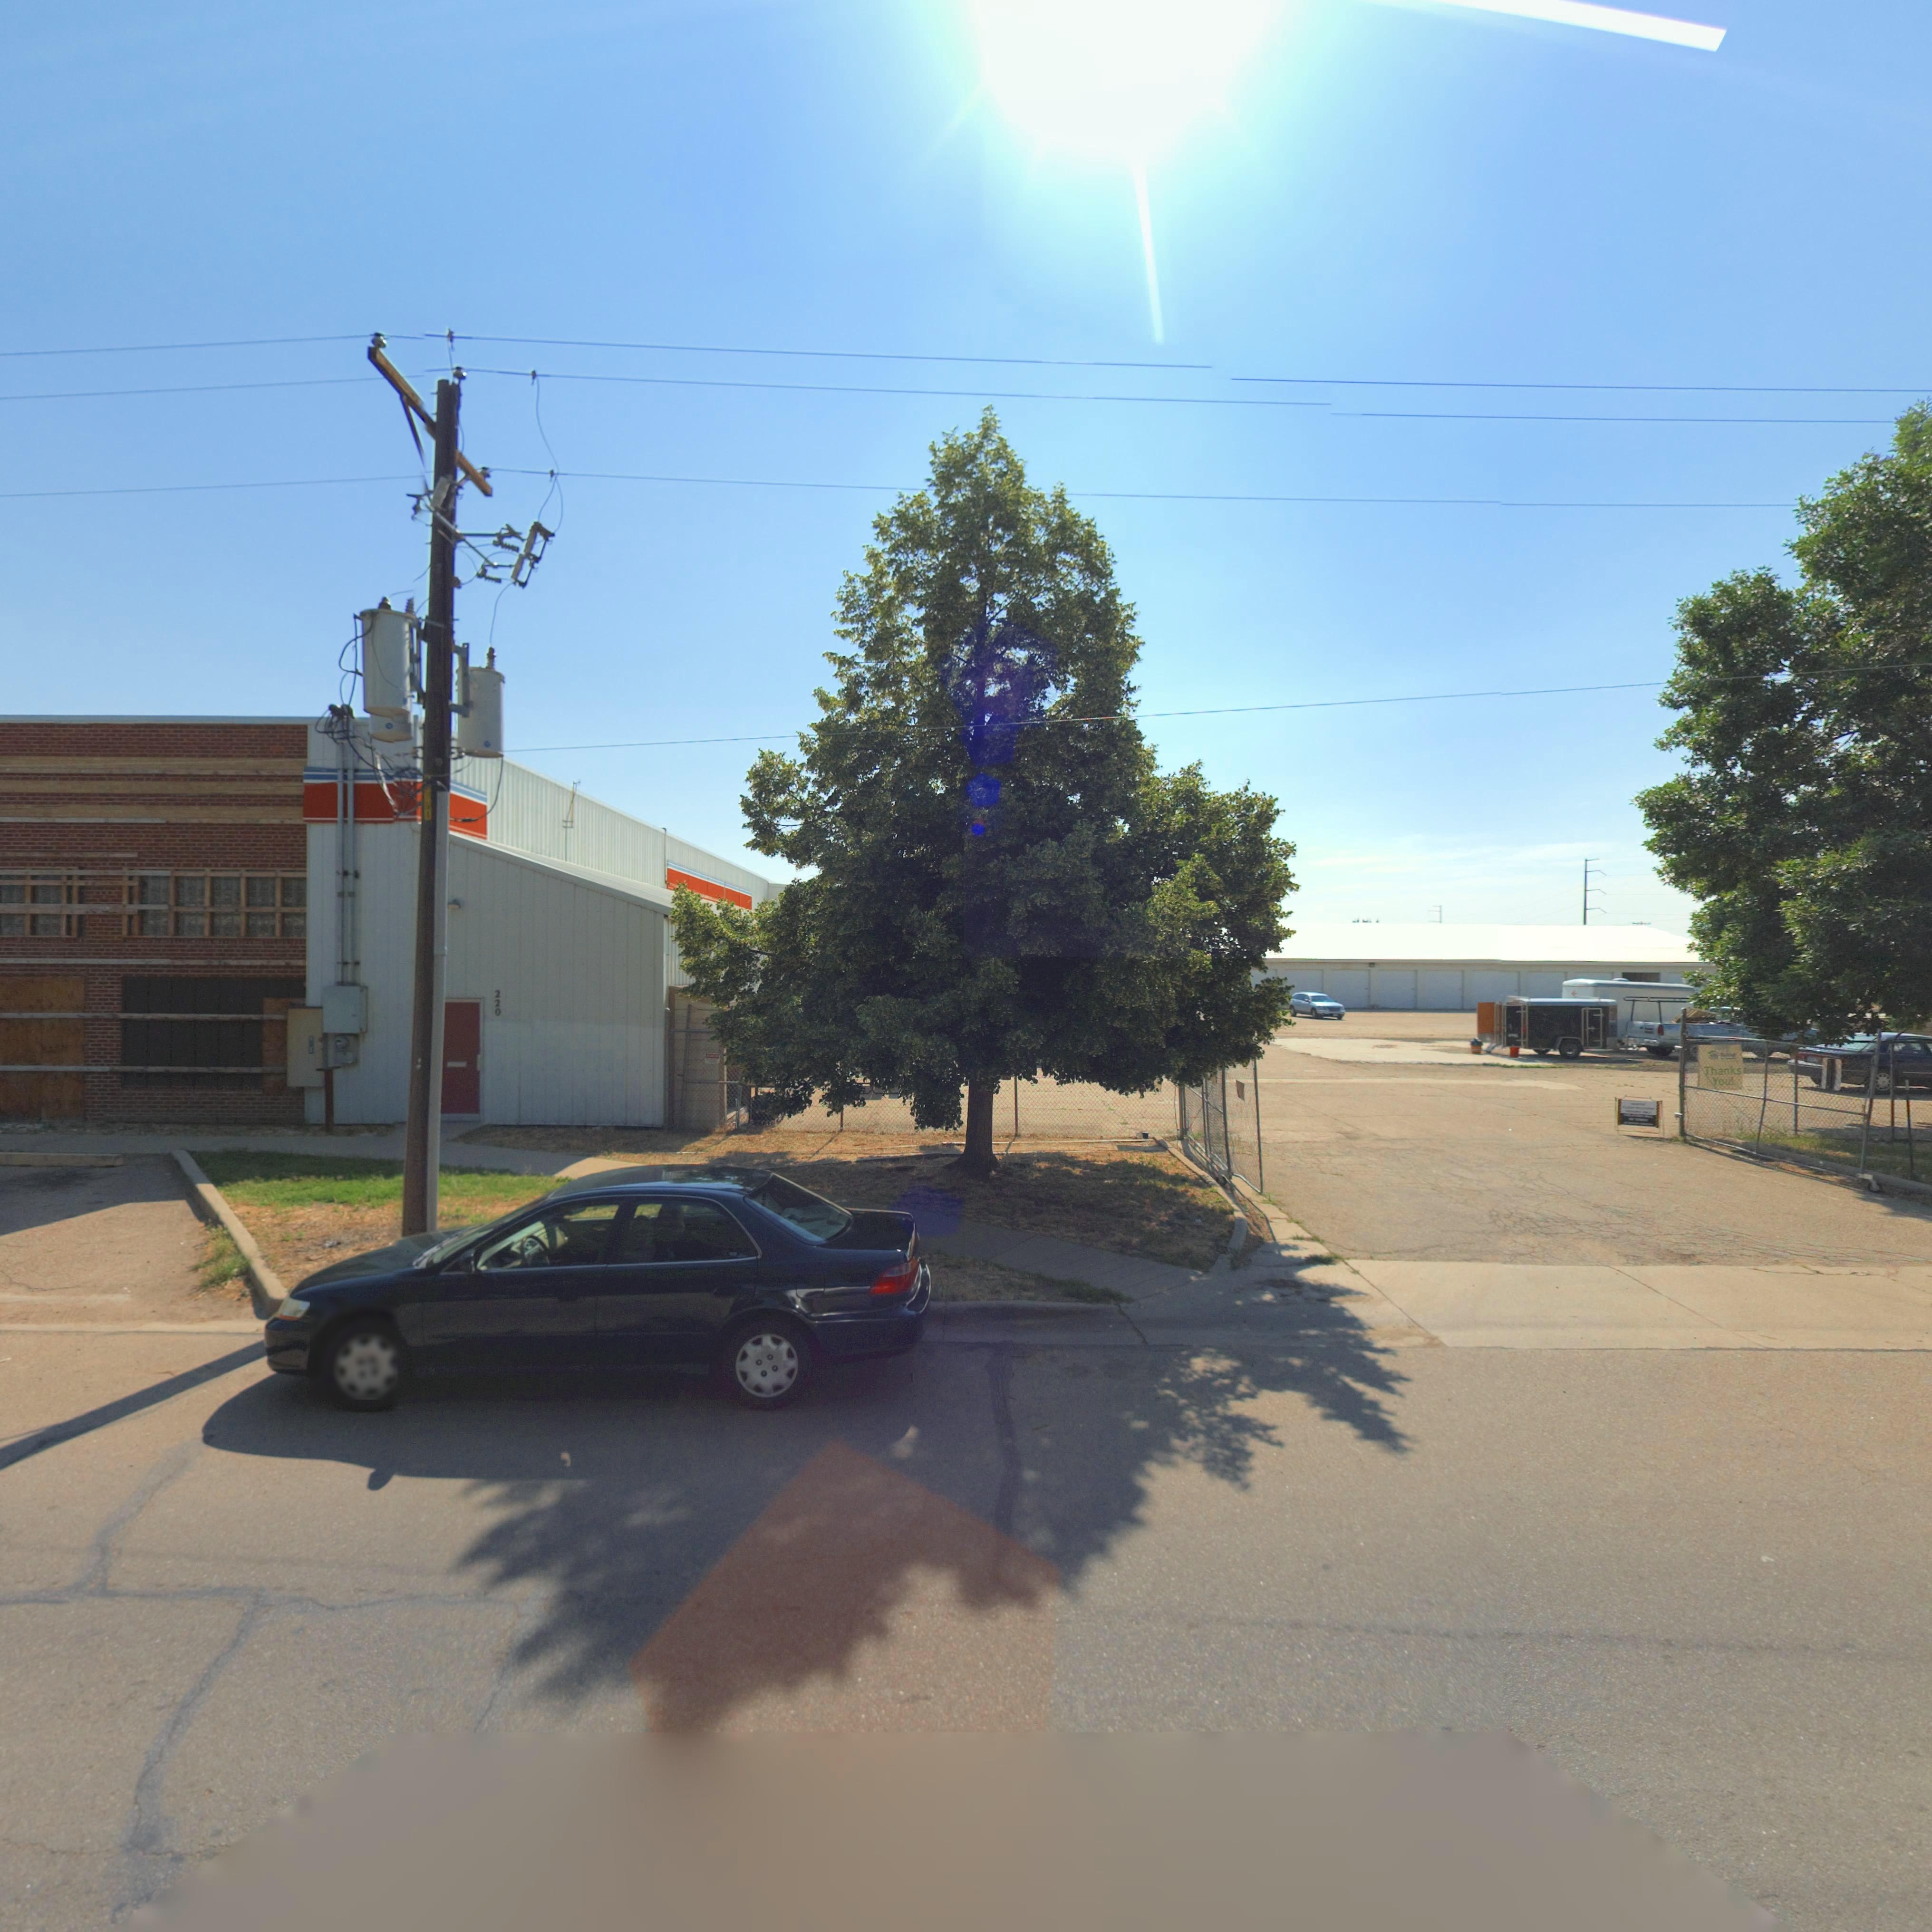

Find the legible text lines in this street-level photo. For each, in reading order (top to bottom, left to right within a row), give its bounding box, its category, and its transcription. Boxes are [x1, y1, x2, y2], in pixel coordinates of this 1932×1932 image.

[494, 988, 502, 1017] StreetNumber: 220